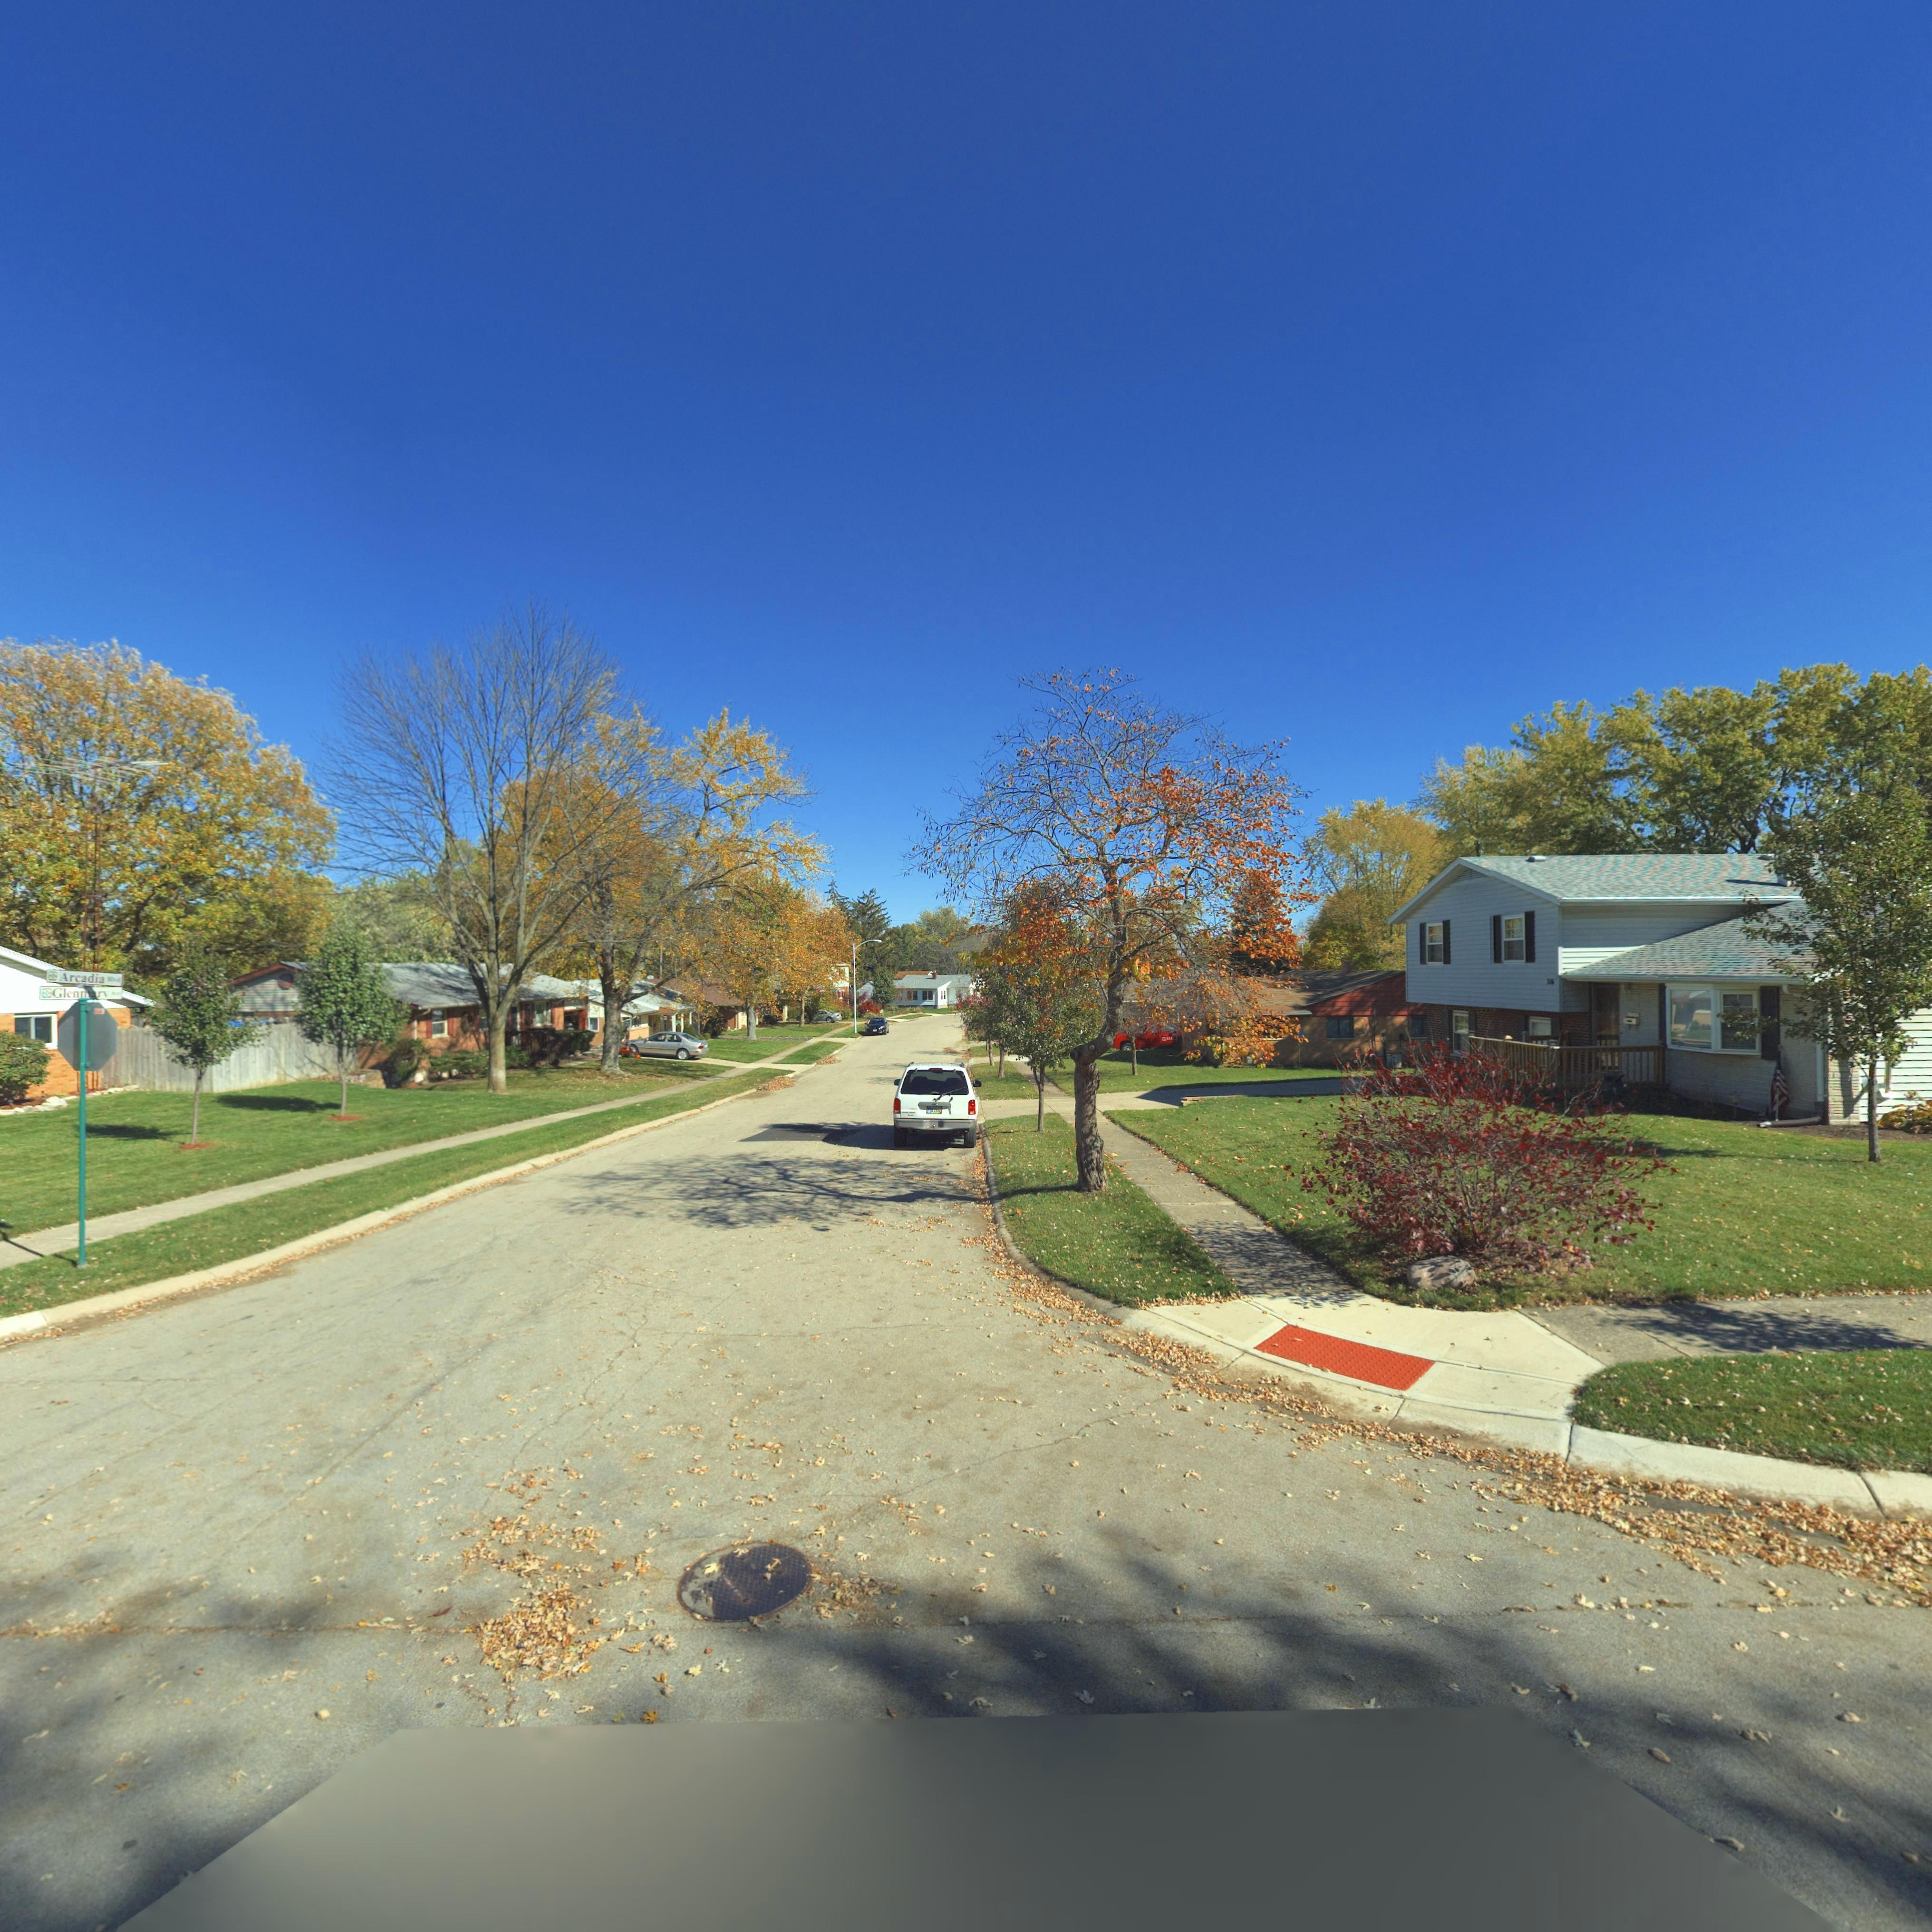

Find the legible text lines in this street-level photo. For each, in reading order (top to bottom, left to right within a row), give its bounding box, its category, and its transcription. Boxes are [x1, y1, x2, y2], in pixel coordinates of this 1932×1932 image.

[1545, 978, 1555, 985] StreetNumber: 316